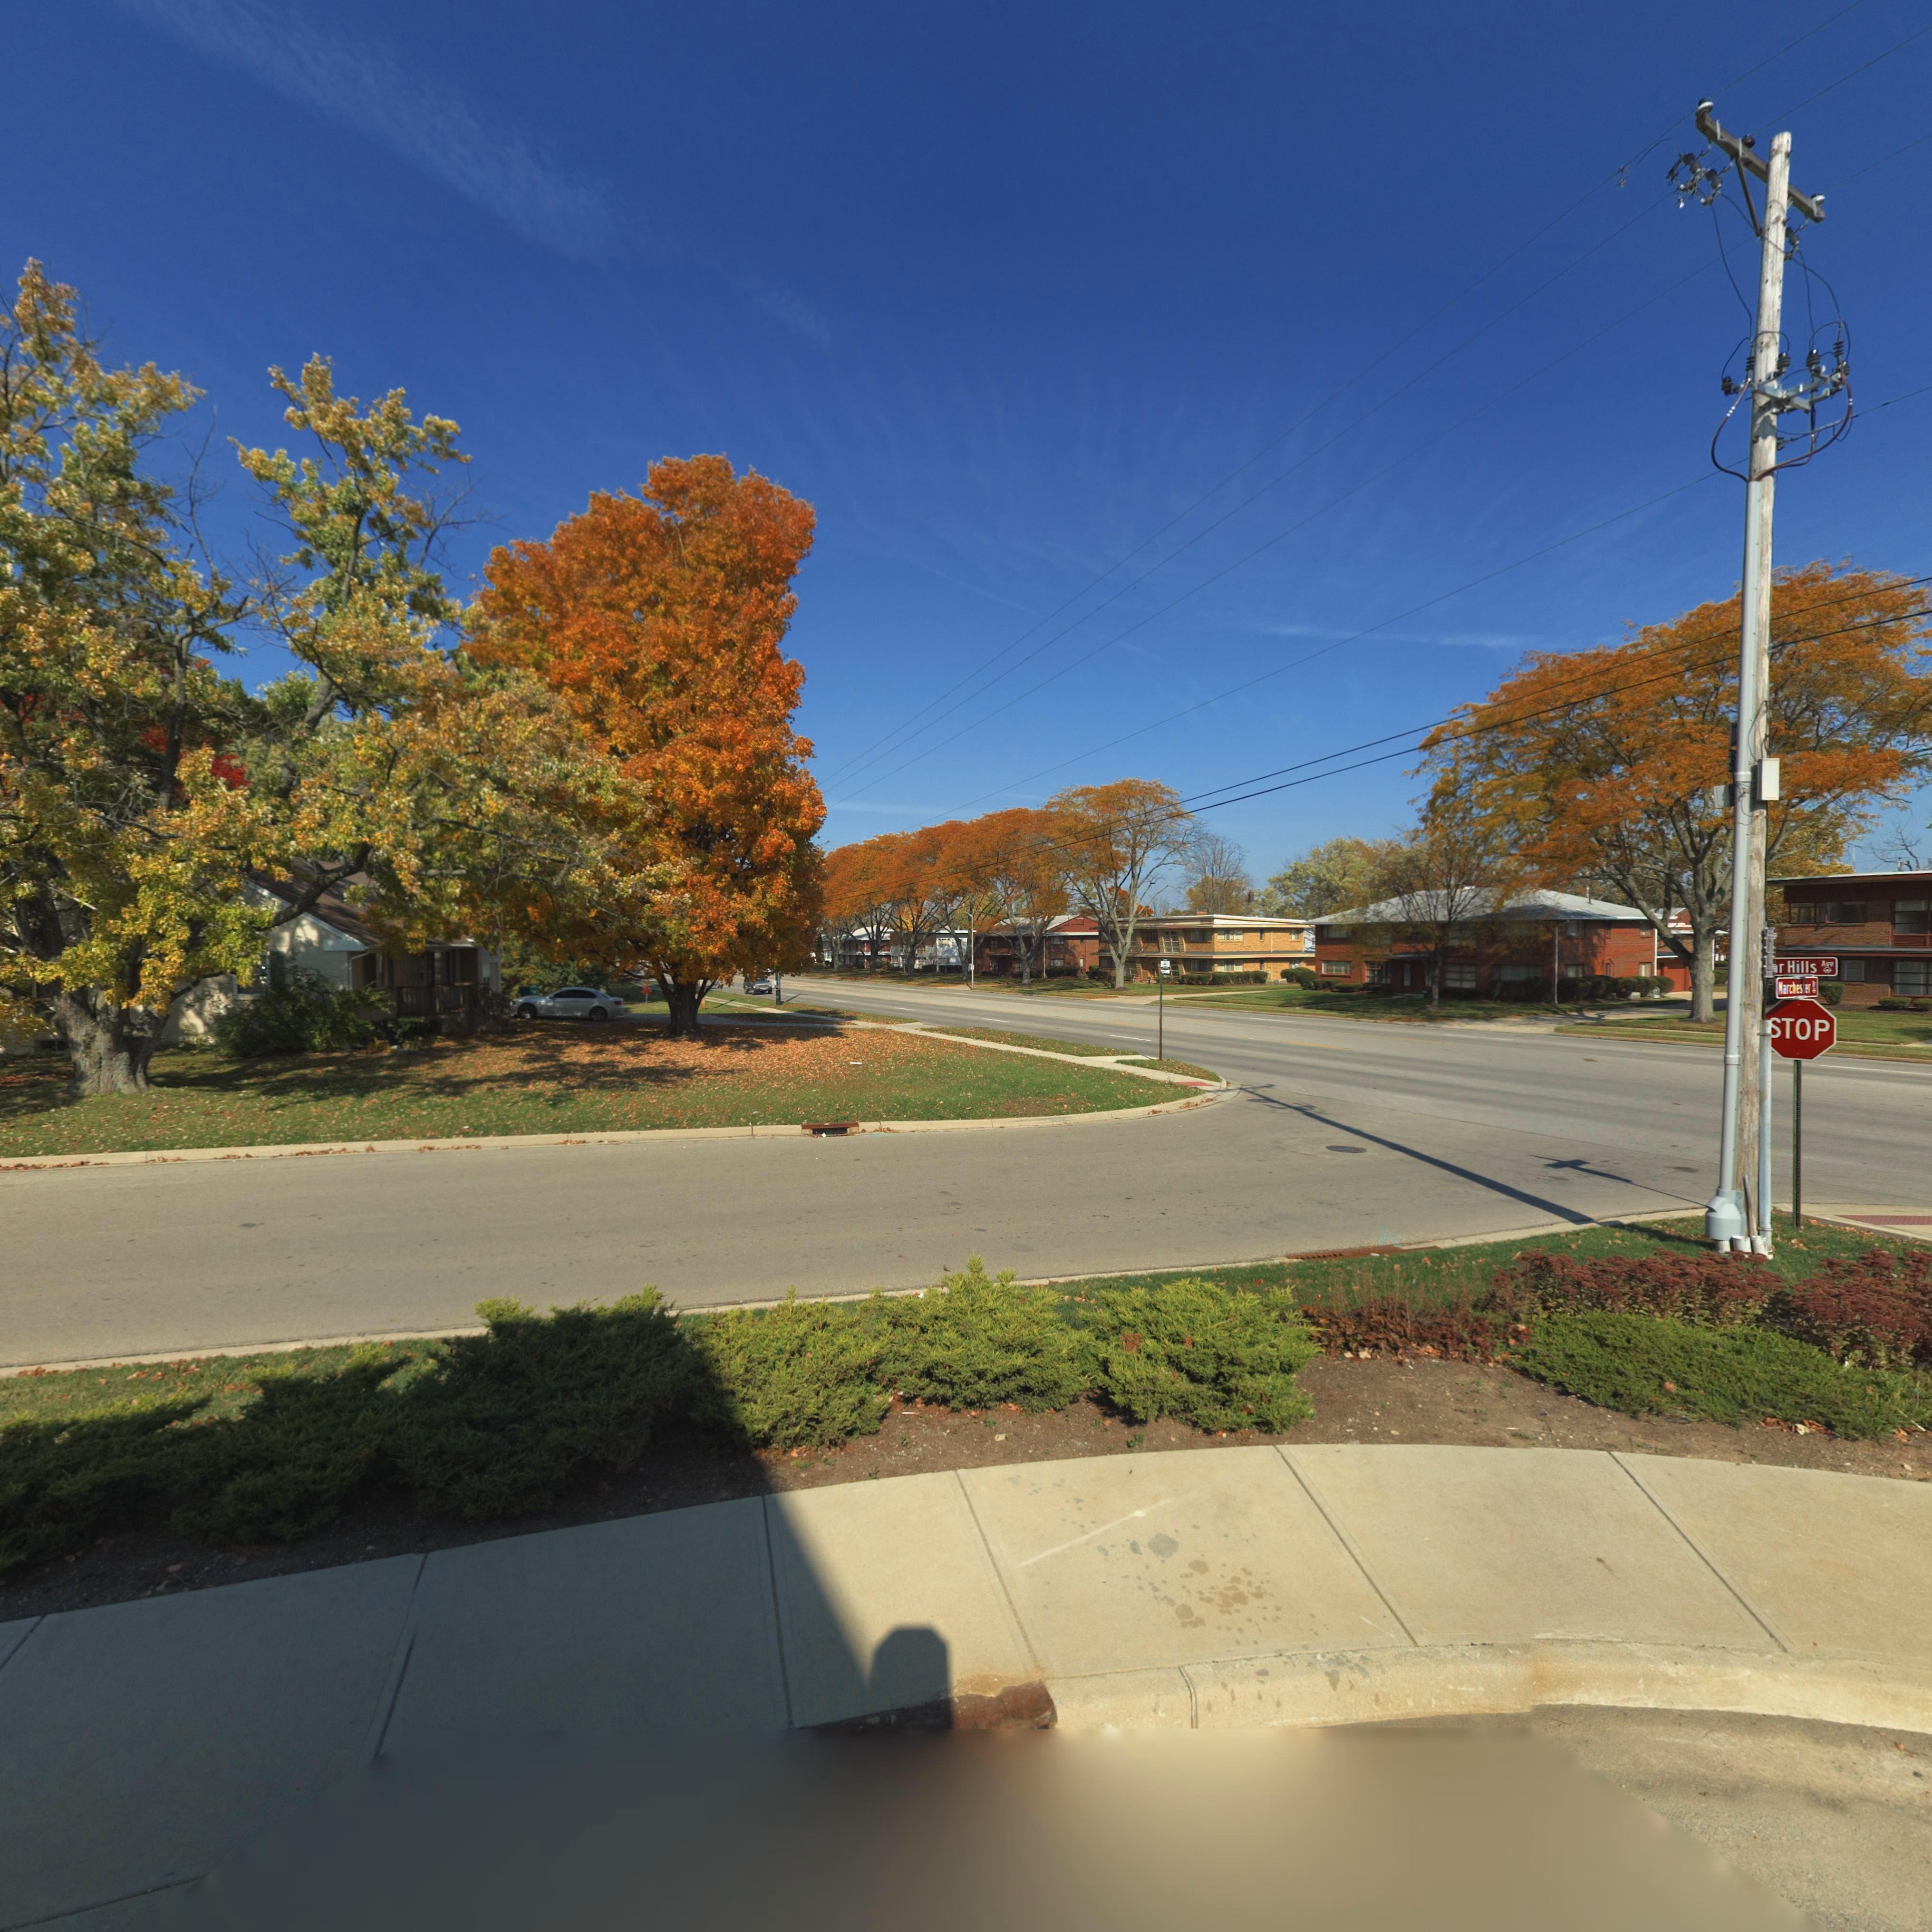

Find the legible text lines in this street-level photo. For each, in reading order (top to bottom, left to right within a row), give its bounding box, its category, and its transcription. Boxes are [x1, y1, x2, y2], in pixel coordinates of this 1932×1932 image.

[1778, 958, 1835, 975] StreetName: r Hills ***
[1777, 980, 1813, 997] StreetName: *arches*er